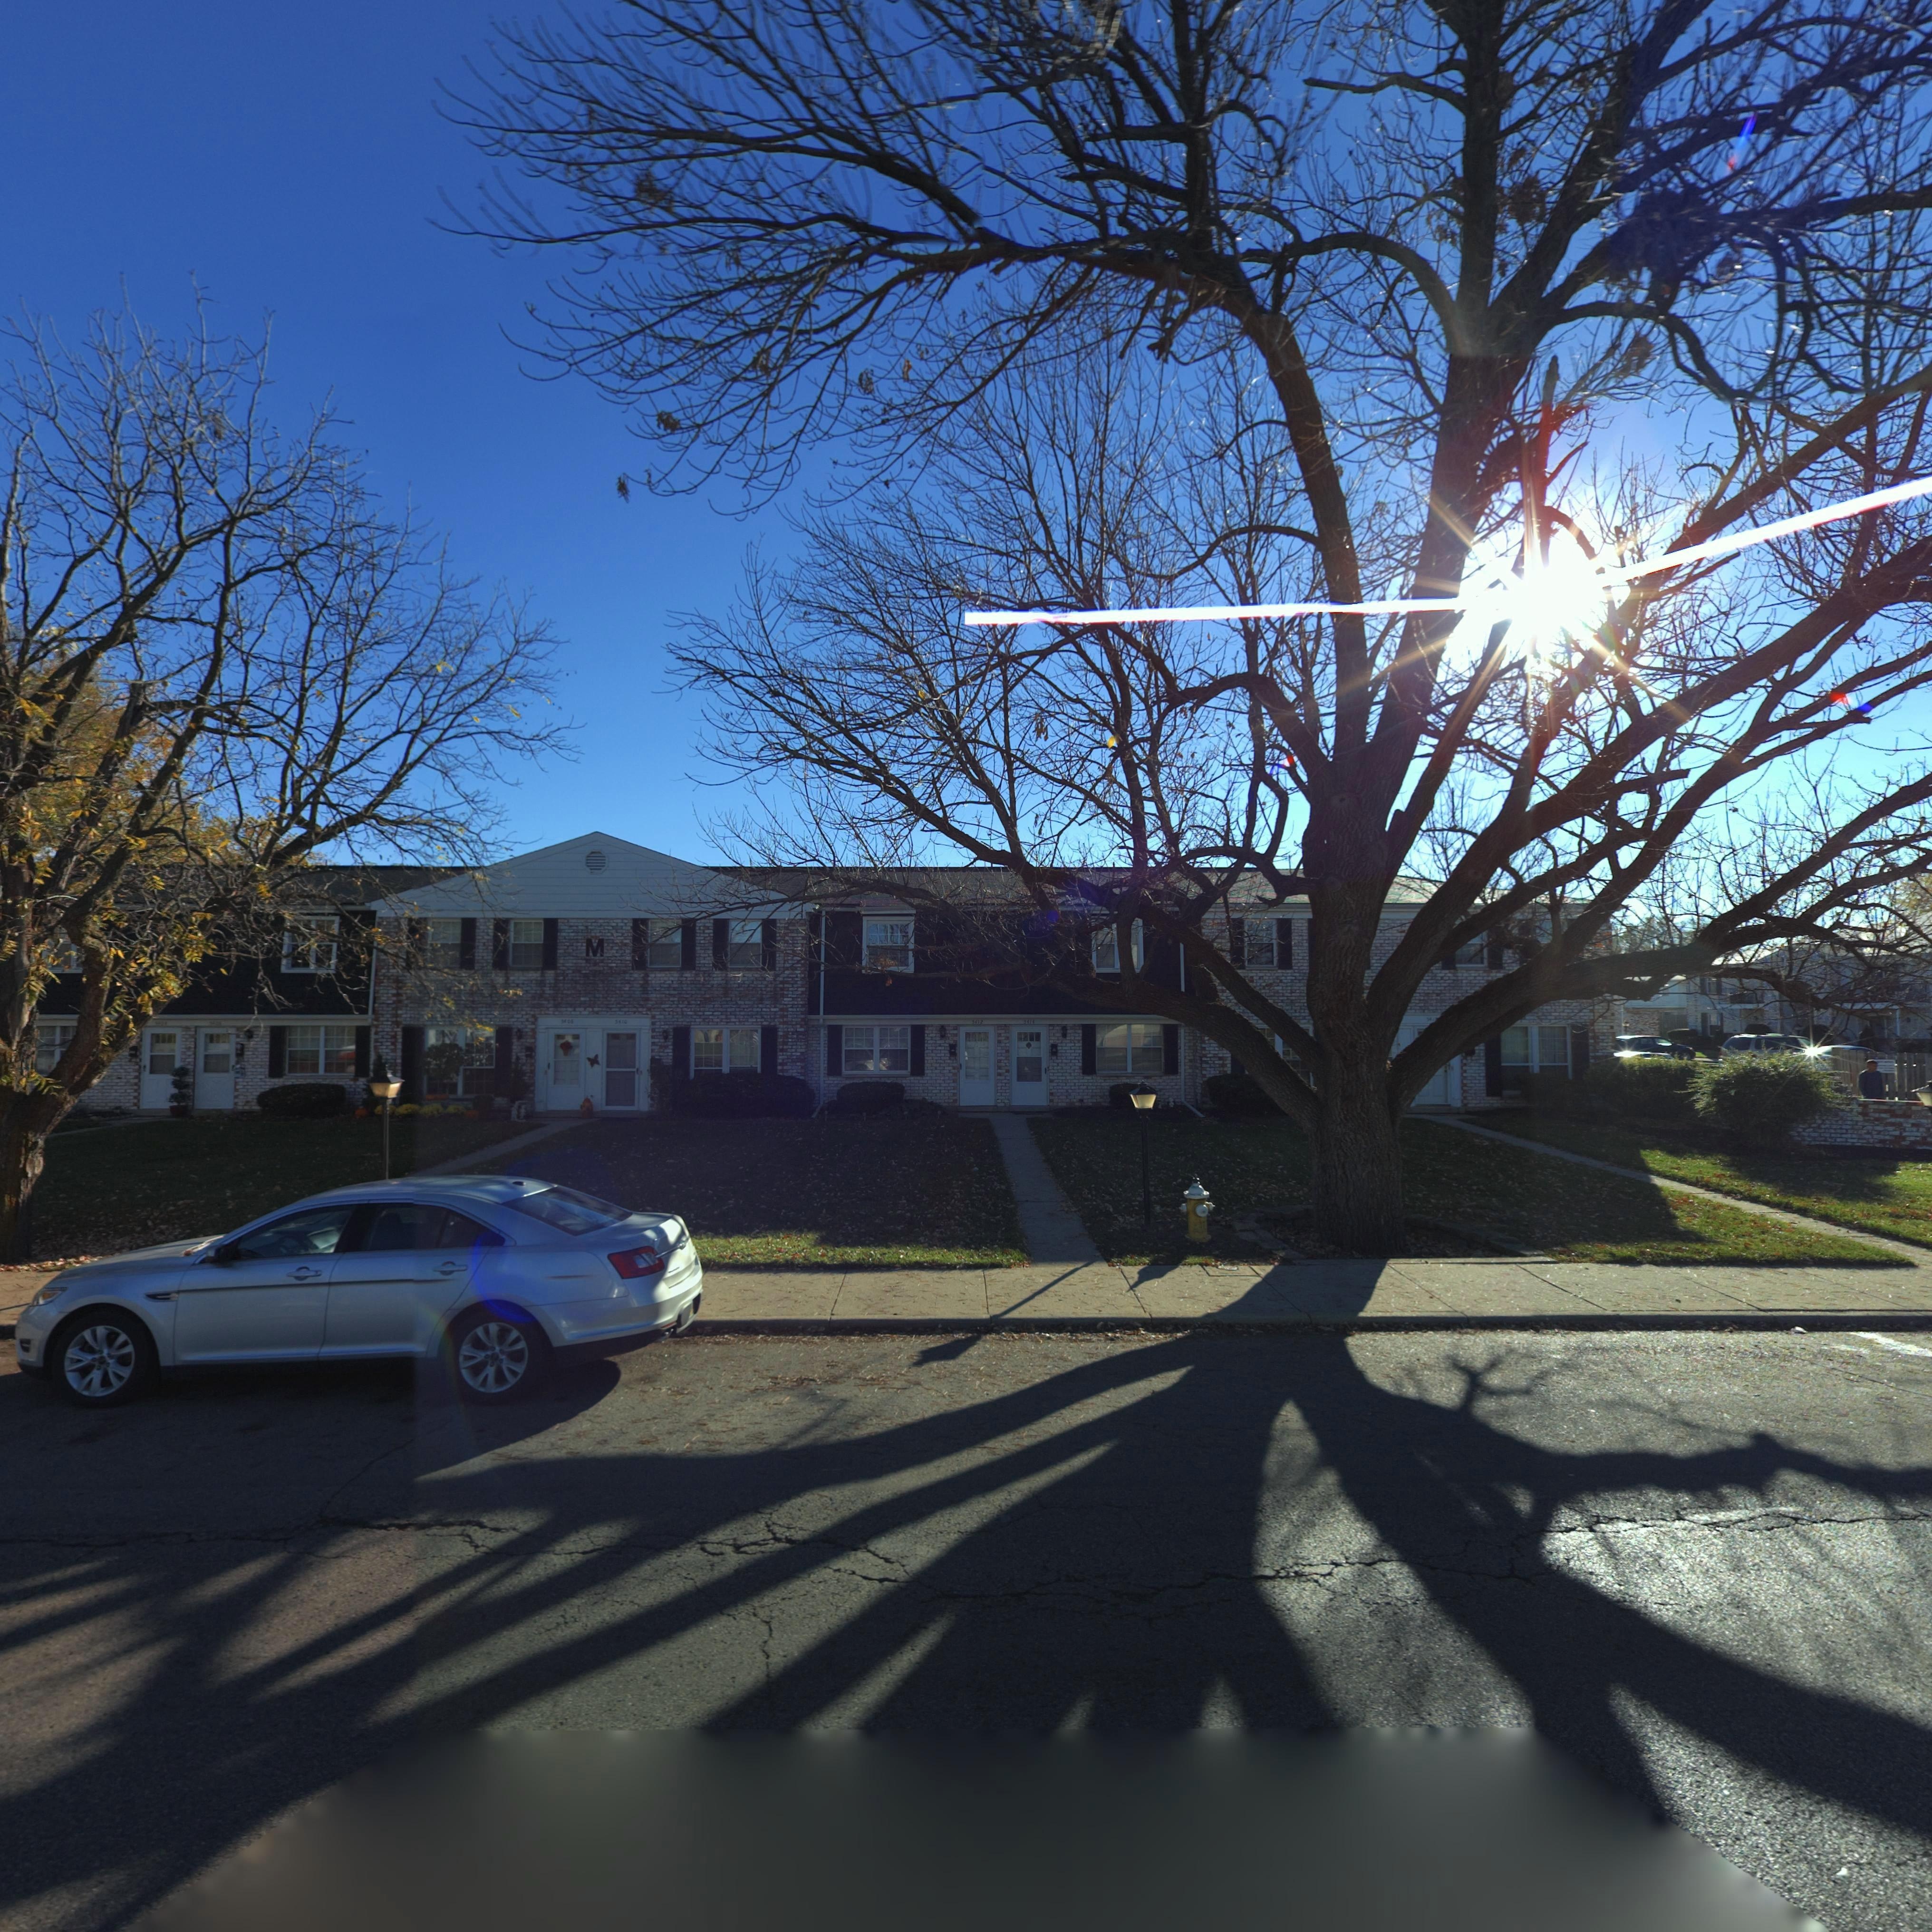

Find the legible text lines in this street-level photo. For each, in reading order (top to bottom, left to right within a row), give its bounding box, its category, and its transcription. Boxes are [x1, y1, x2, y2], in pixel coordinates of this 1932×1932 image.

[560, 1018, 574, 1024] StreetNumber: **0*
[614, 1019, 628, 1025] StreetNumber: *410
[971, 1019, 984, 1025] StreetNumber: 5412
[1024, 1019, 1035, 1024] StreetNumber: 5414